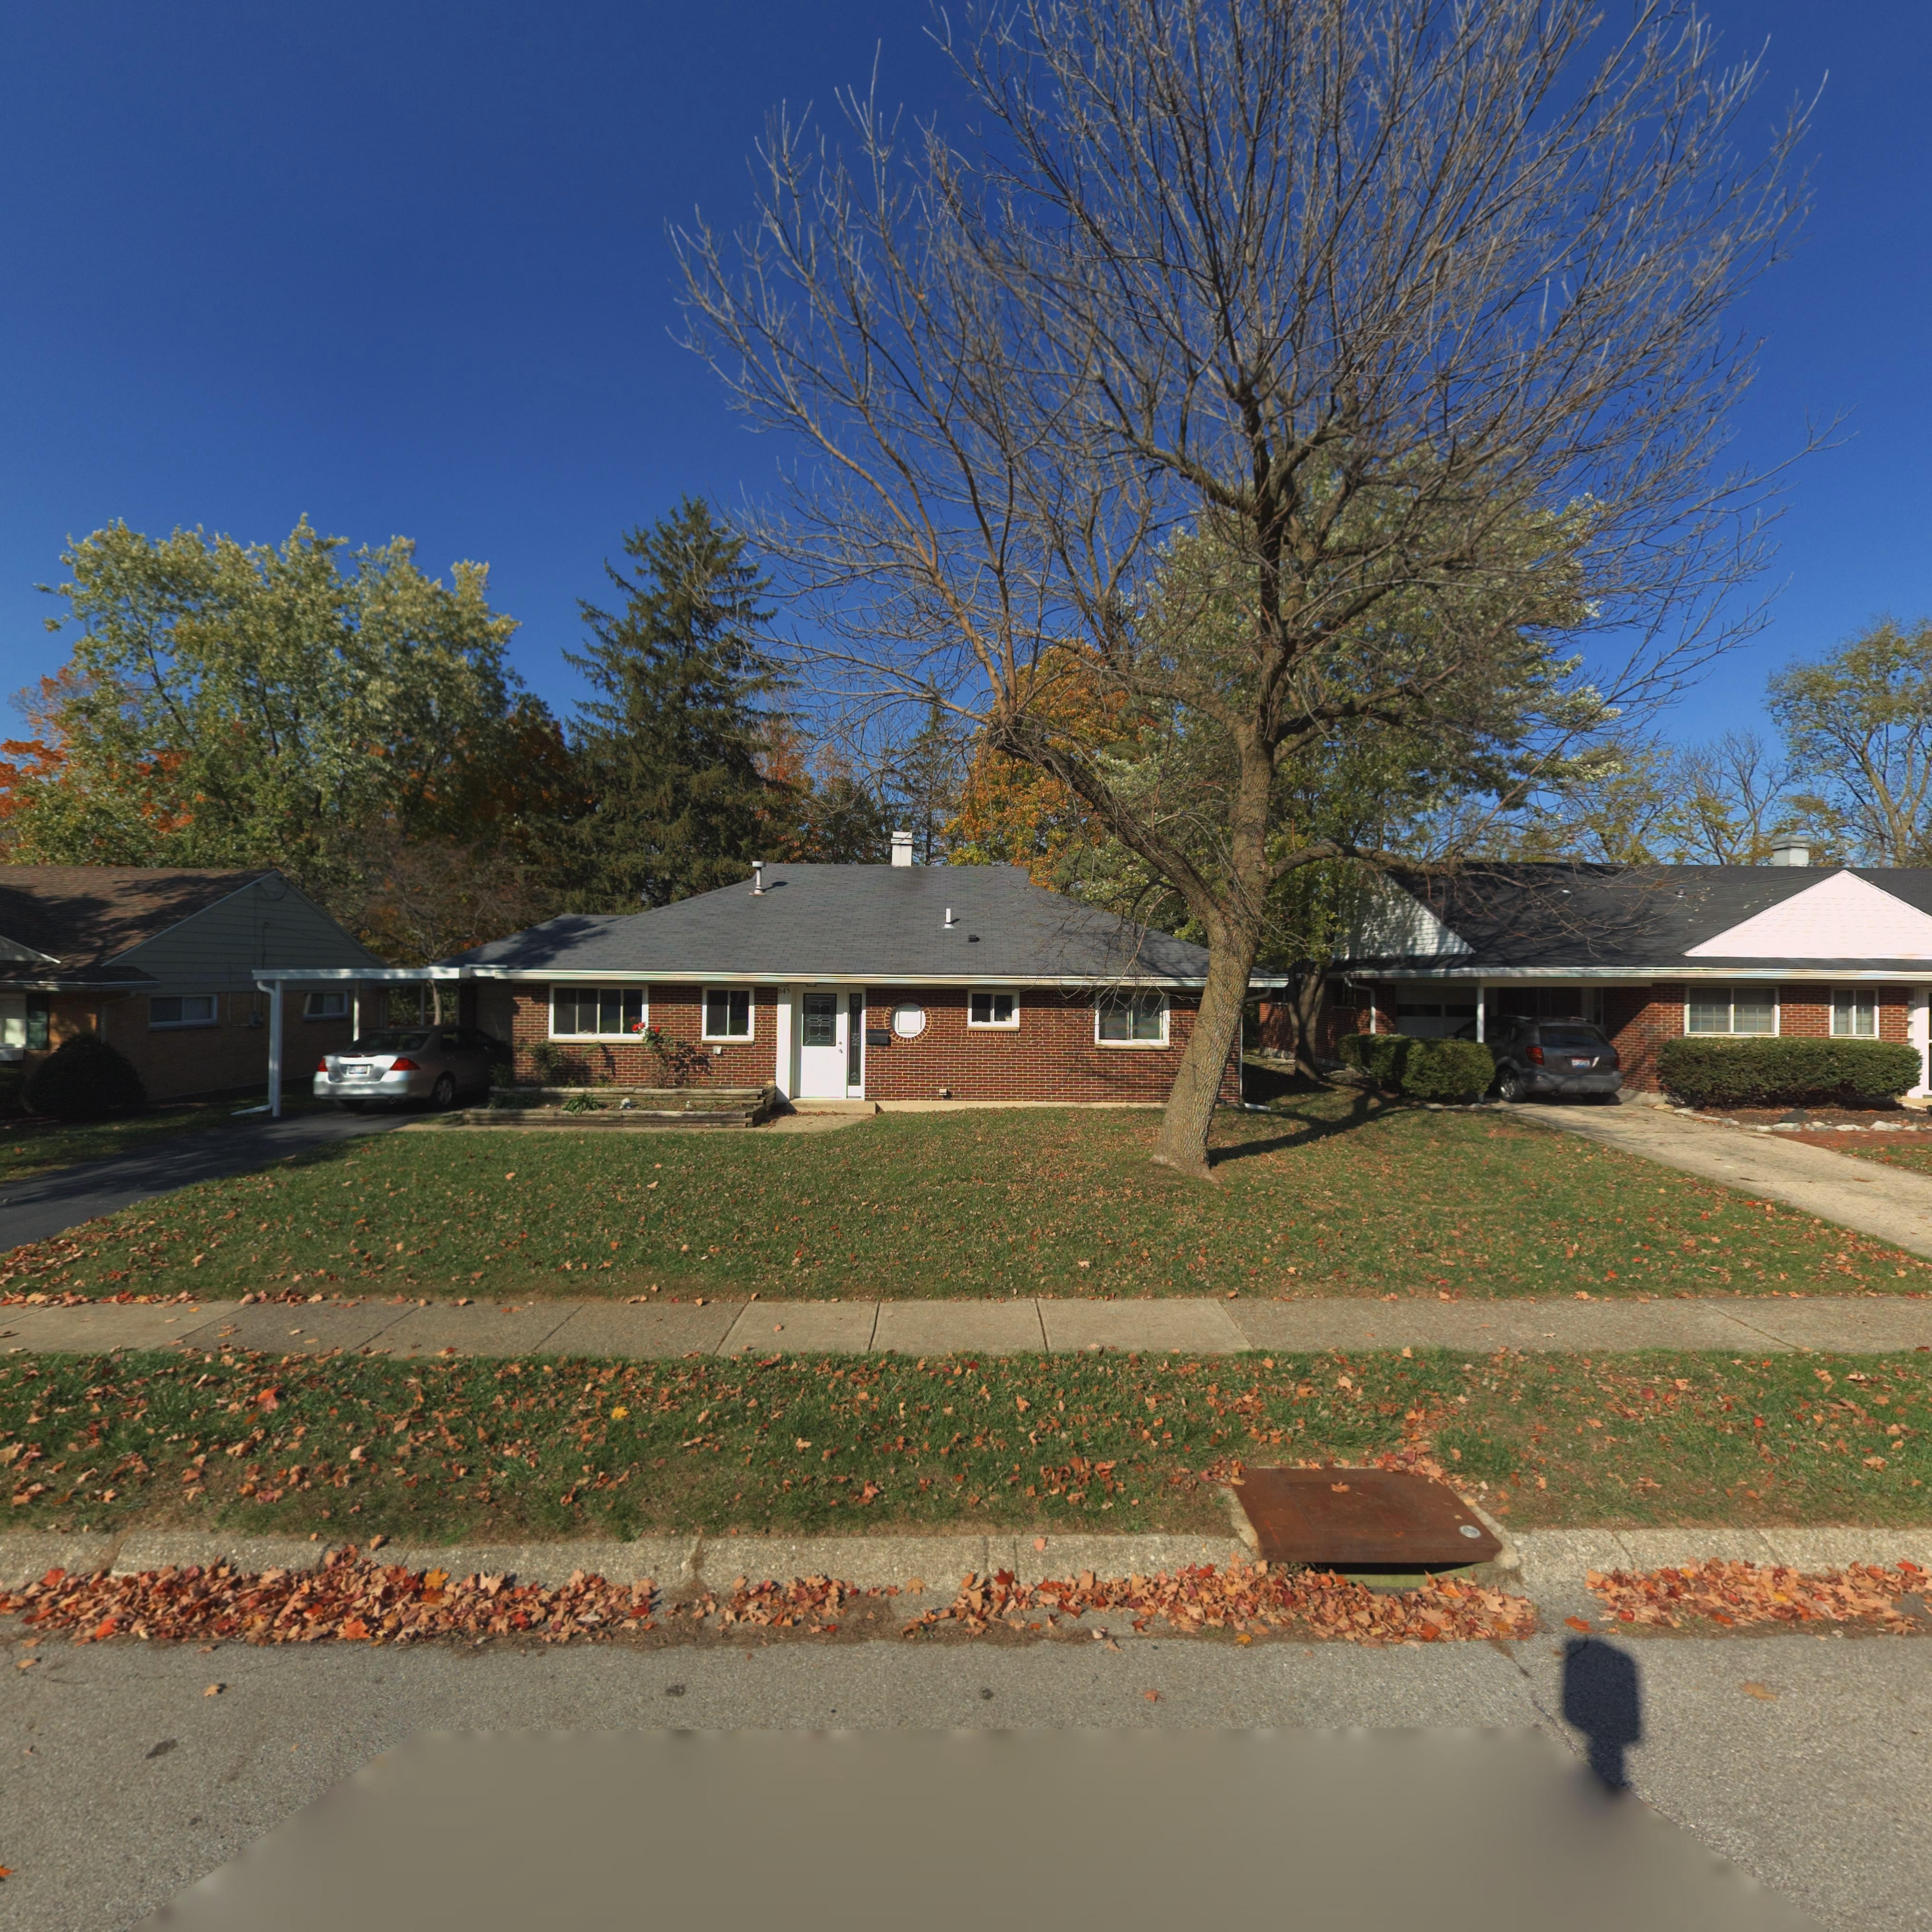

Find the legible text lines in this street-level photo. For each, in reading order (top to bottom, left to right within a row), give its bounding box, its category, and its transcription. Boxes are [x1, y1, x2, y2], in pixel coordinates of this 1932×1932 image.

[778, 986, 791, 995] StreetNumber: 645